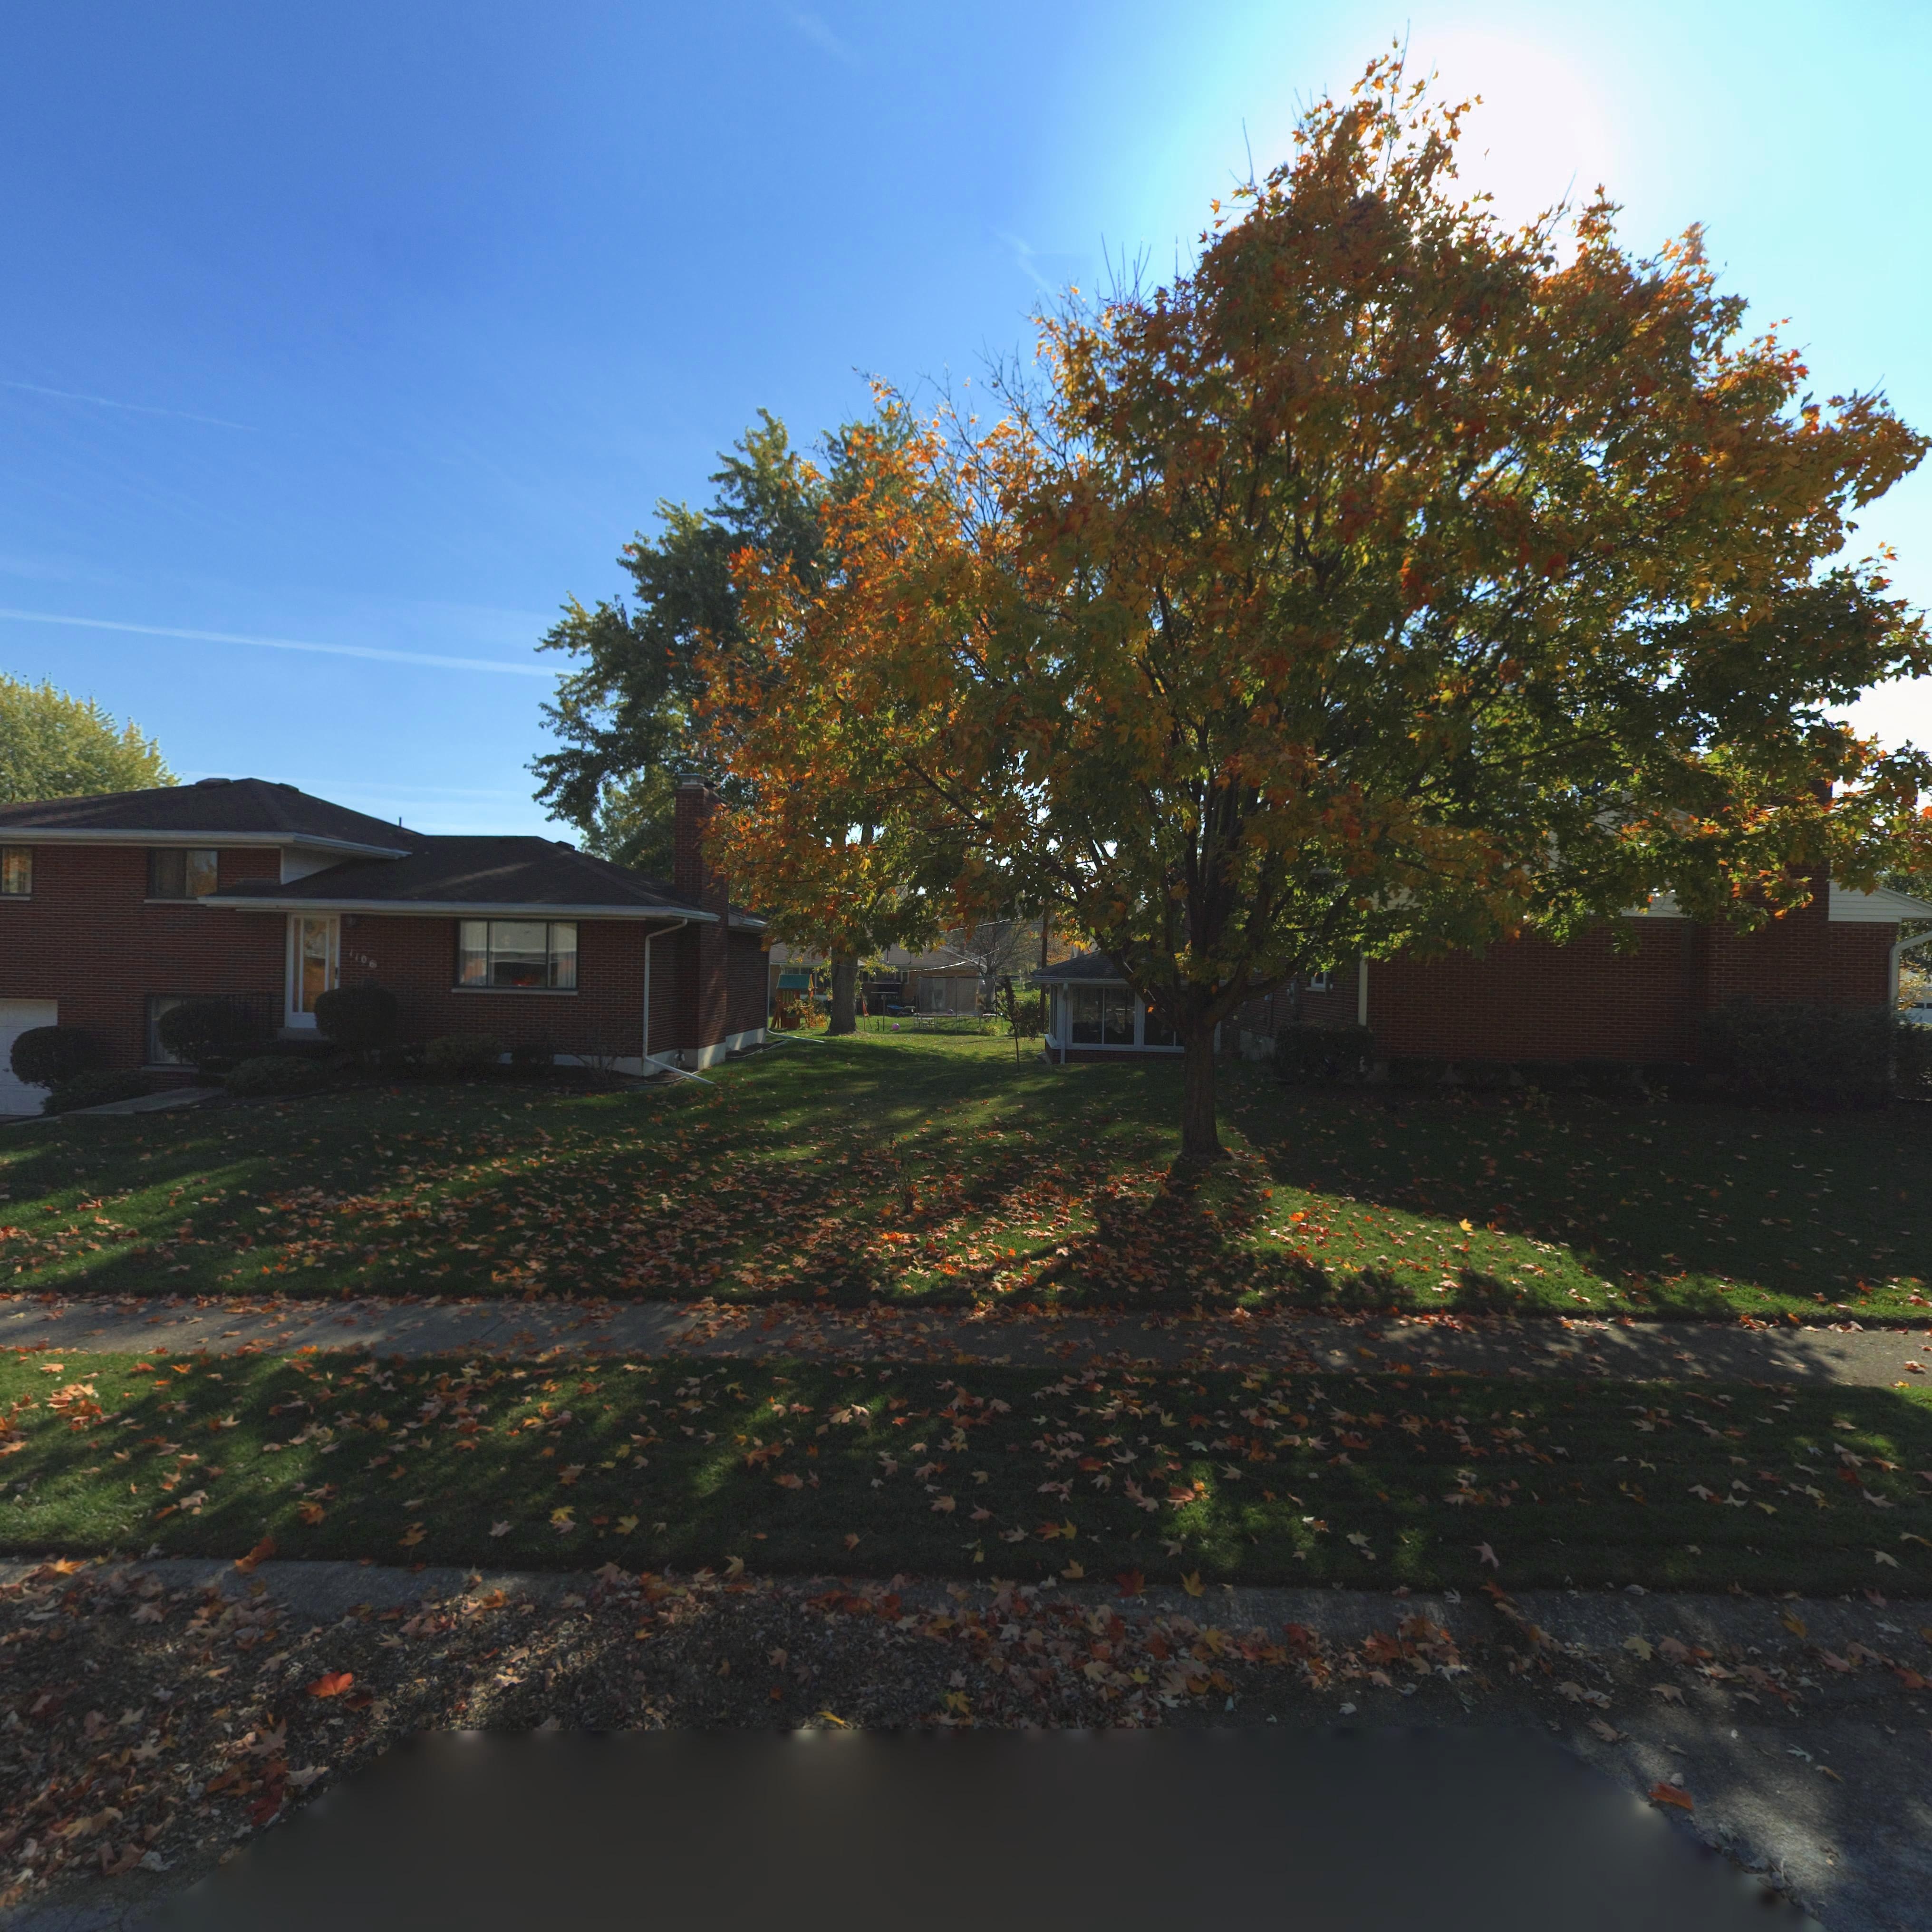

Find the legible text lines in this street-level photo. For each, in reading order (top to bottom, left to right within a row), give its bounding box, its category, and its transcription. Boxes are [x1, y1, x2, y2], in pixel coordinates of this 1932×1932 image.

[348, 947, 377, 970] StreetNumber: 110*